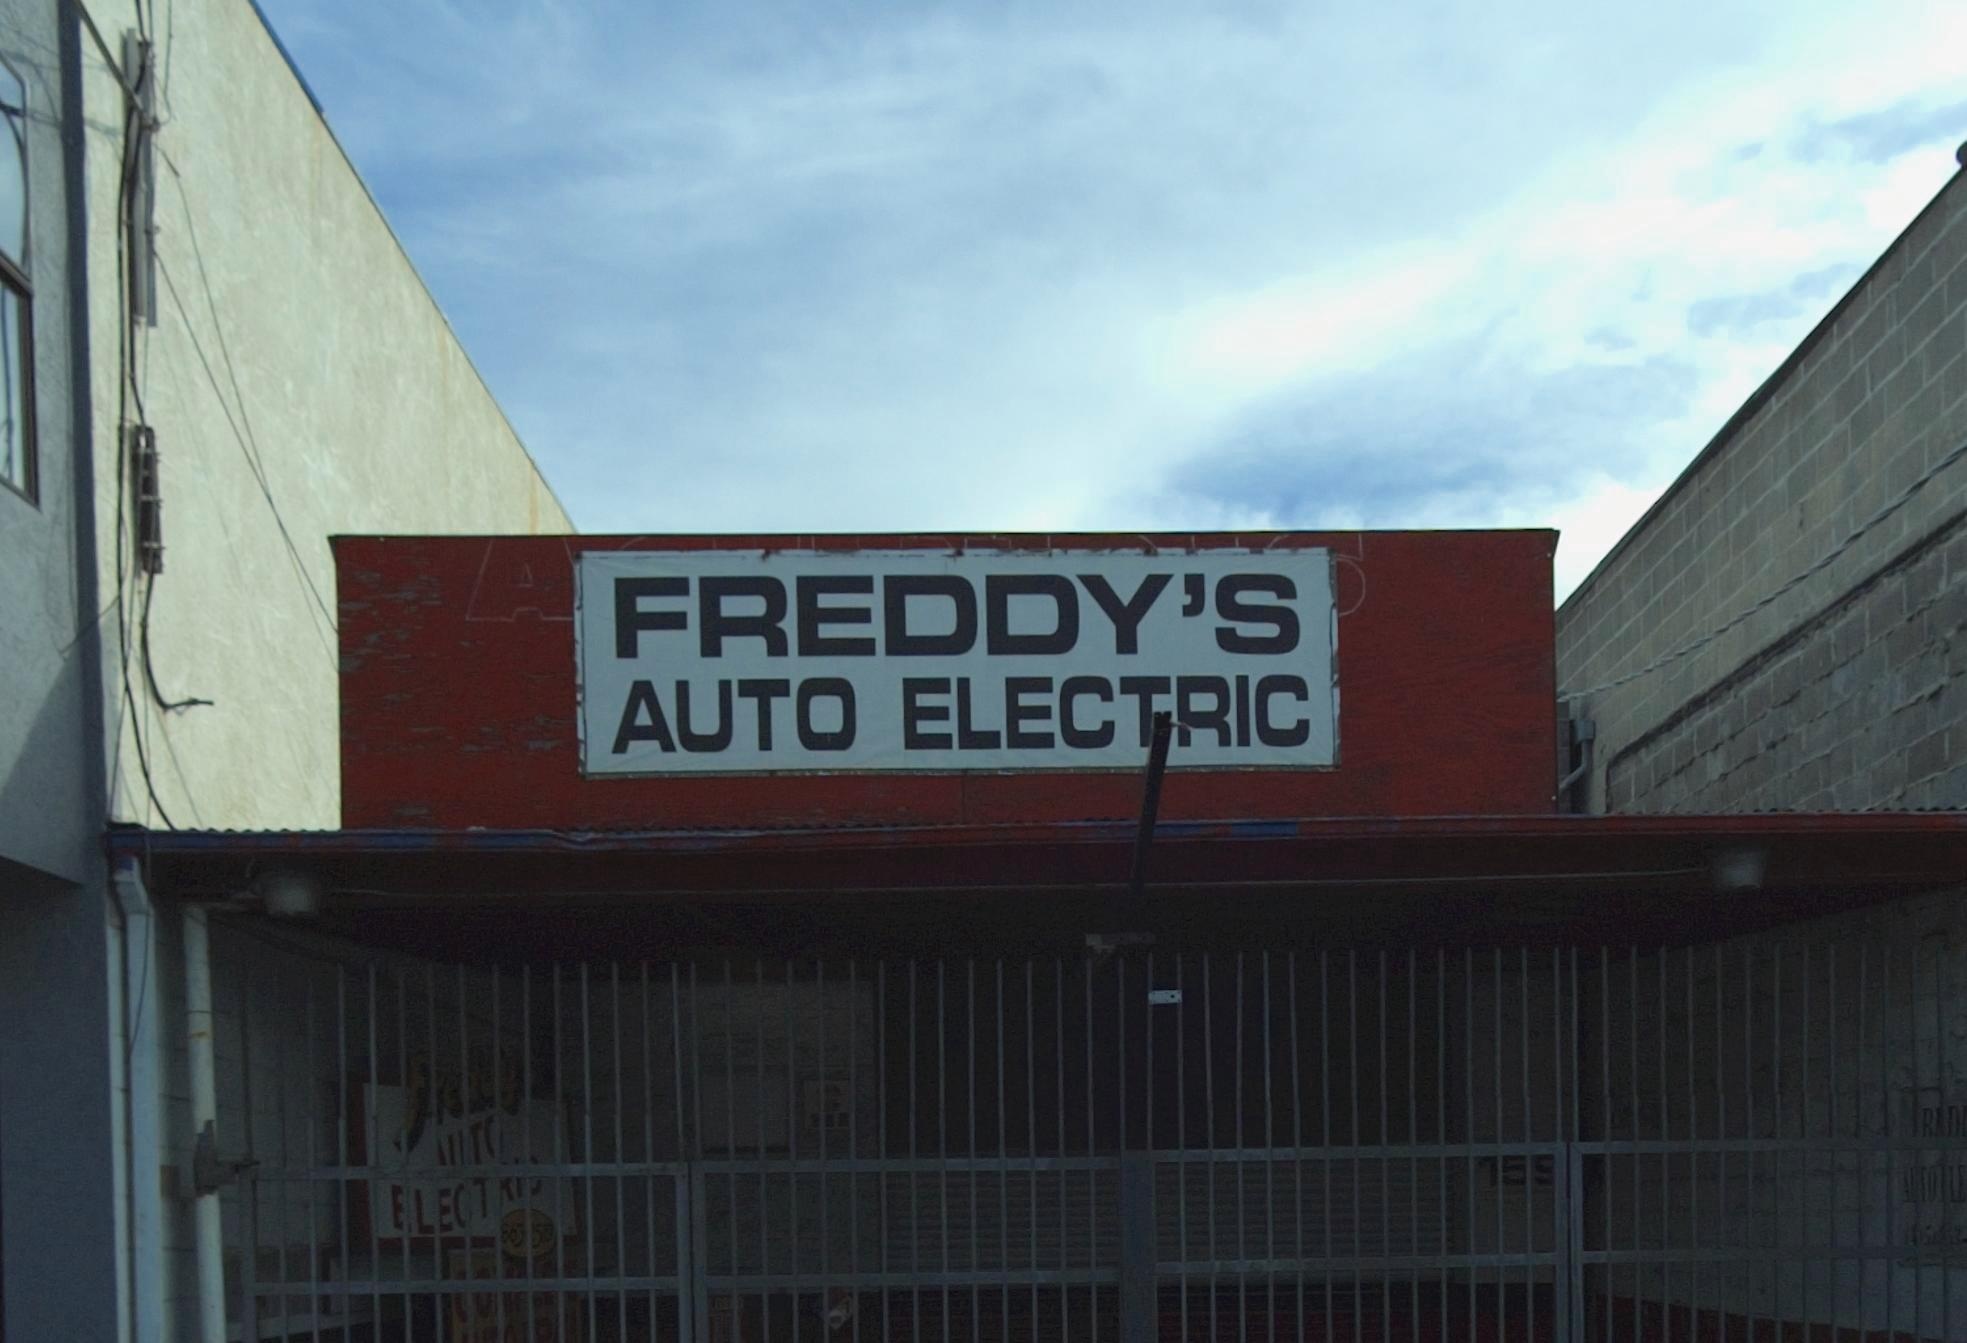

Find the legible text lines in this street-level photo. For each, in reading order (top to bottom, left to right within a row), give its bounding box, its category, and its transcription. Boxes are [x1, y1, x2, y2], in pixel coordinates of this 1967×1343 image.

[608, 566, 1307, 668] BusinessName: FREDDY'S
[597, 666, 1324, 762] BusinessName: AUTO ELECTRIC
[411, 1183, 437, 1239] None: L